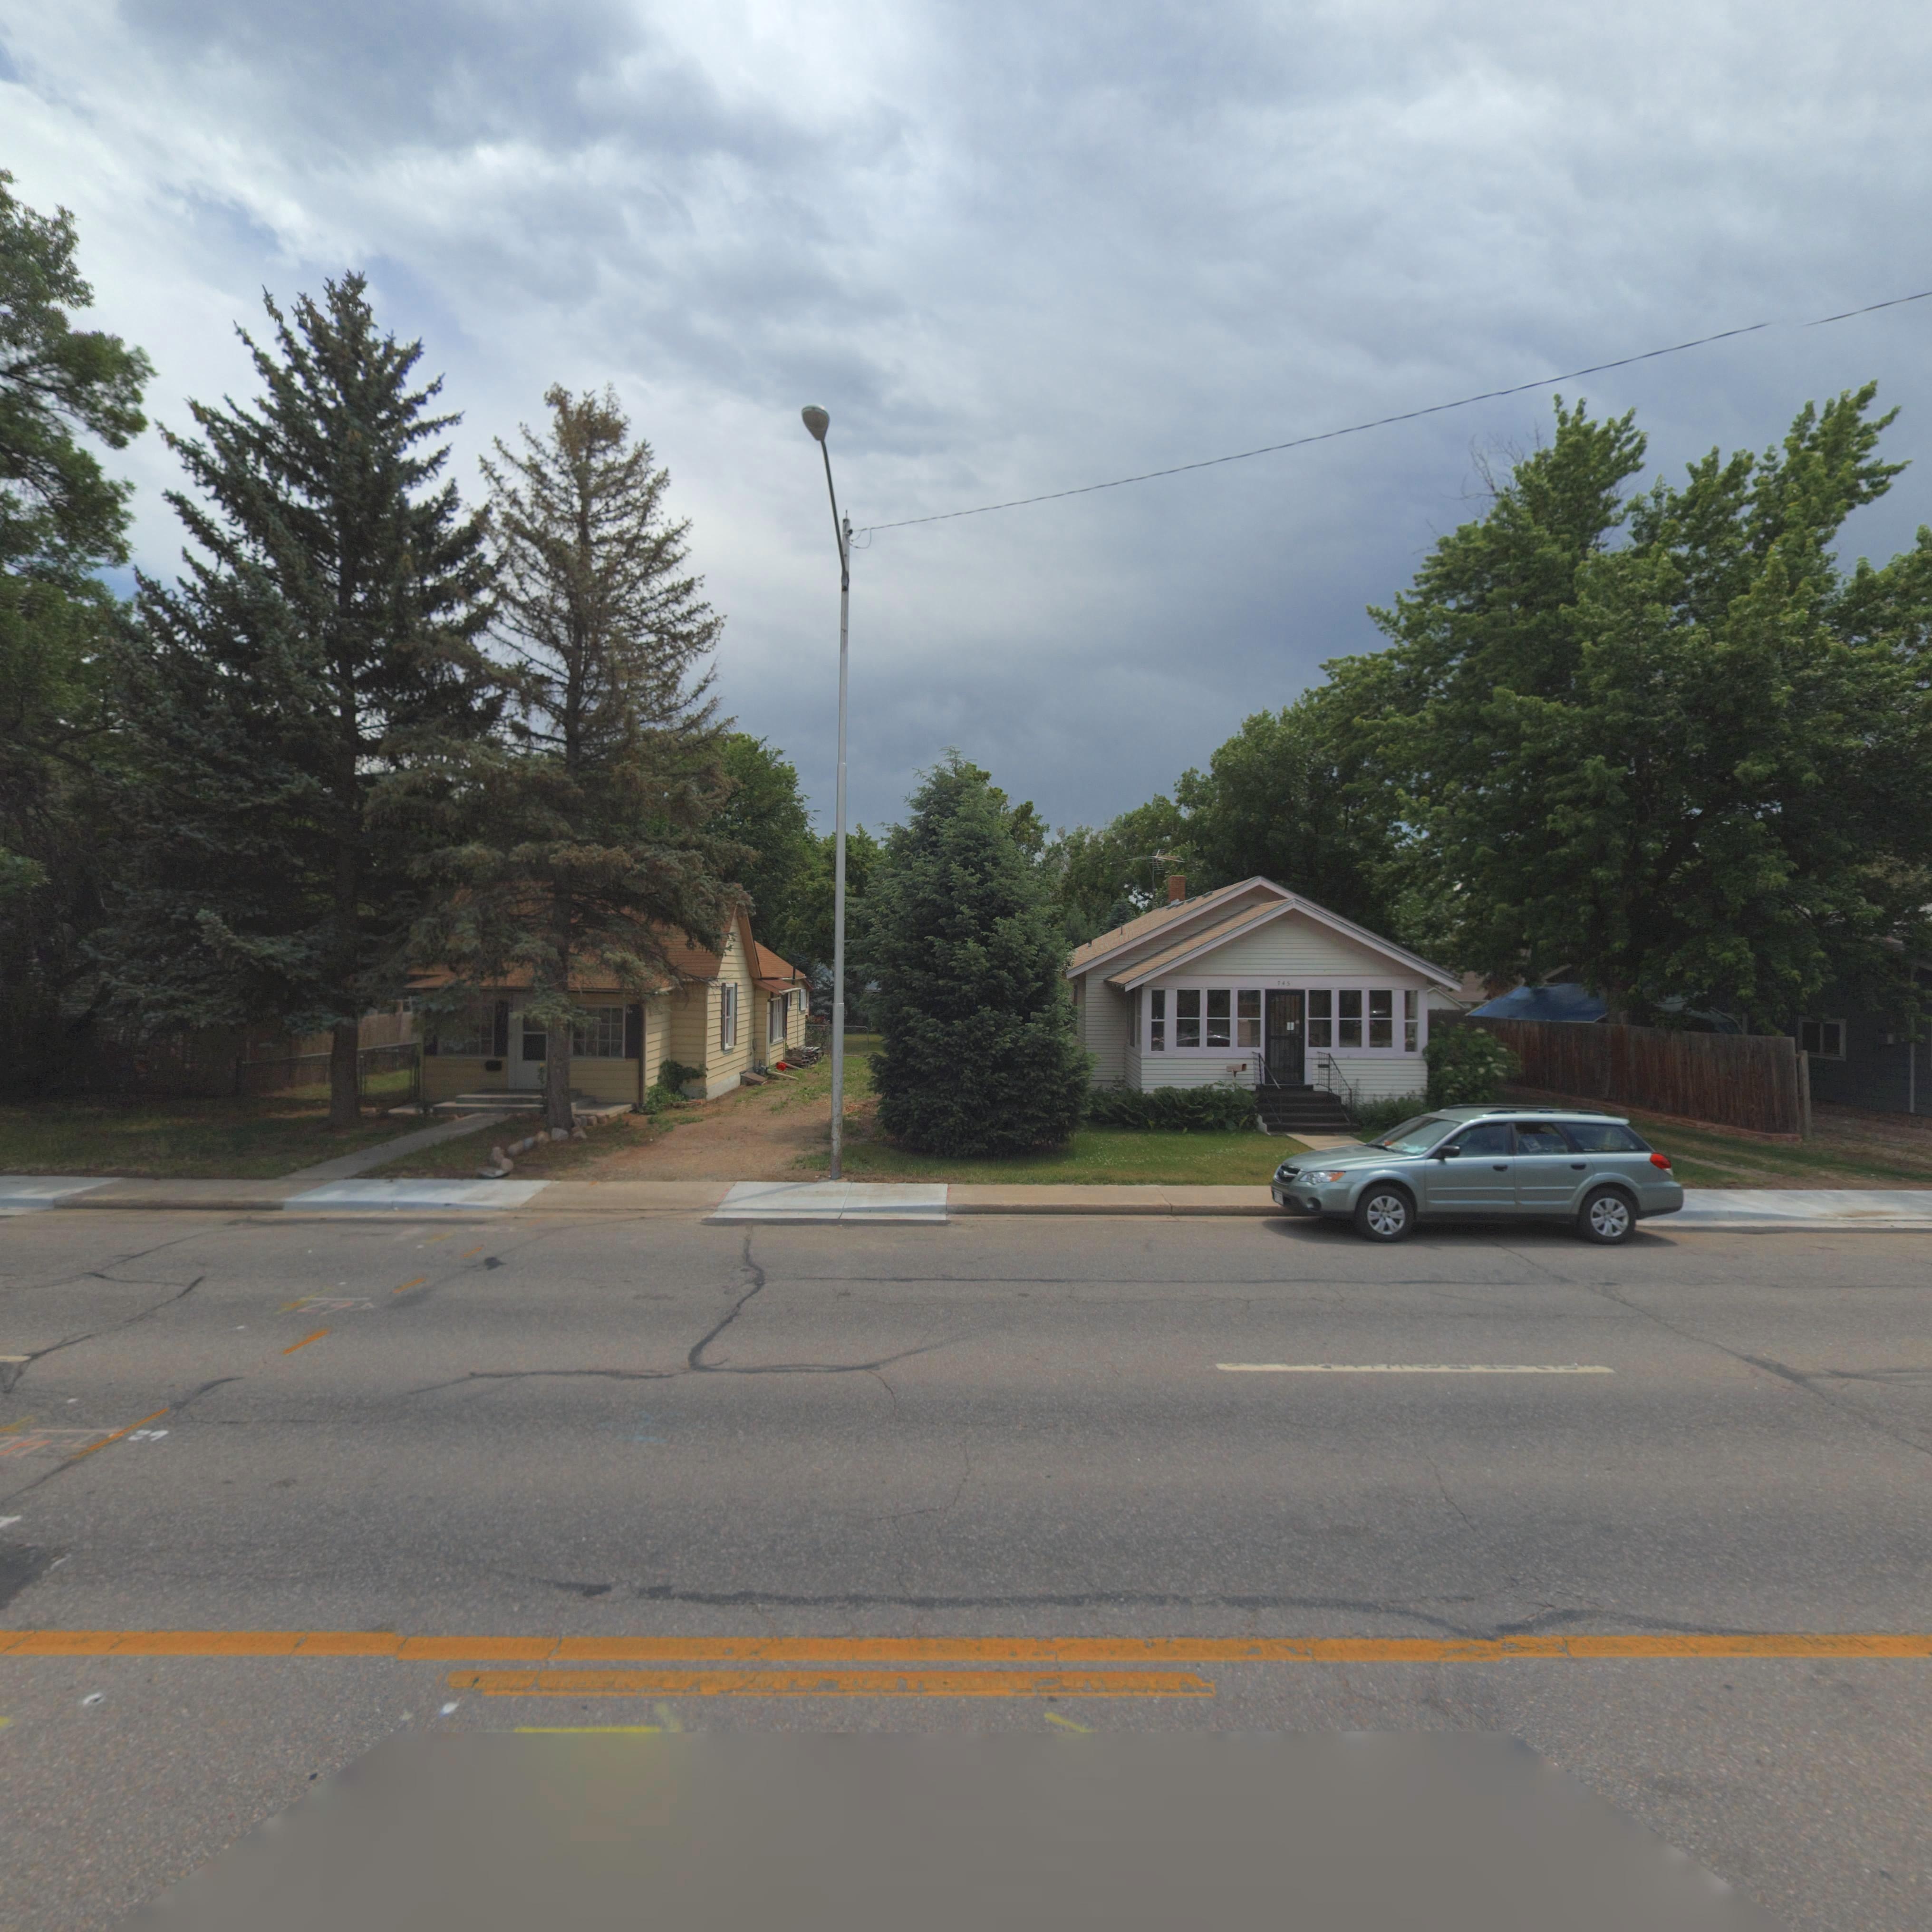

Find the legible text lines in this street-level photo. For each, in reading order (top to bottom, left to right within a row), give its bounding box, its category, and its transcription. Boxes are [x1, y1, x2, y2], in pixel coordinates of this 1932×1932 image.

[1277, 980, 1290, 986] StreetNumber: 745